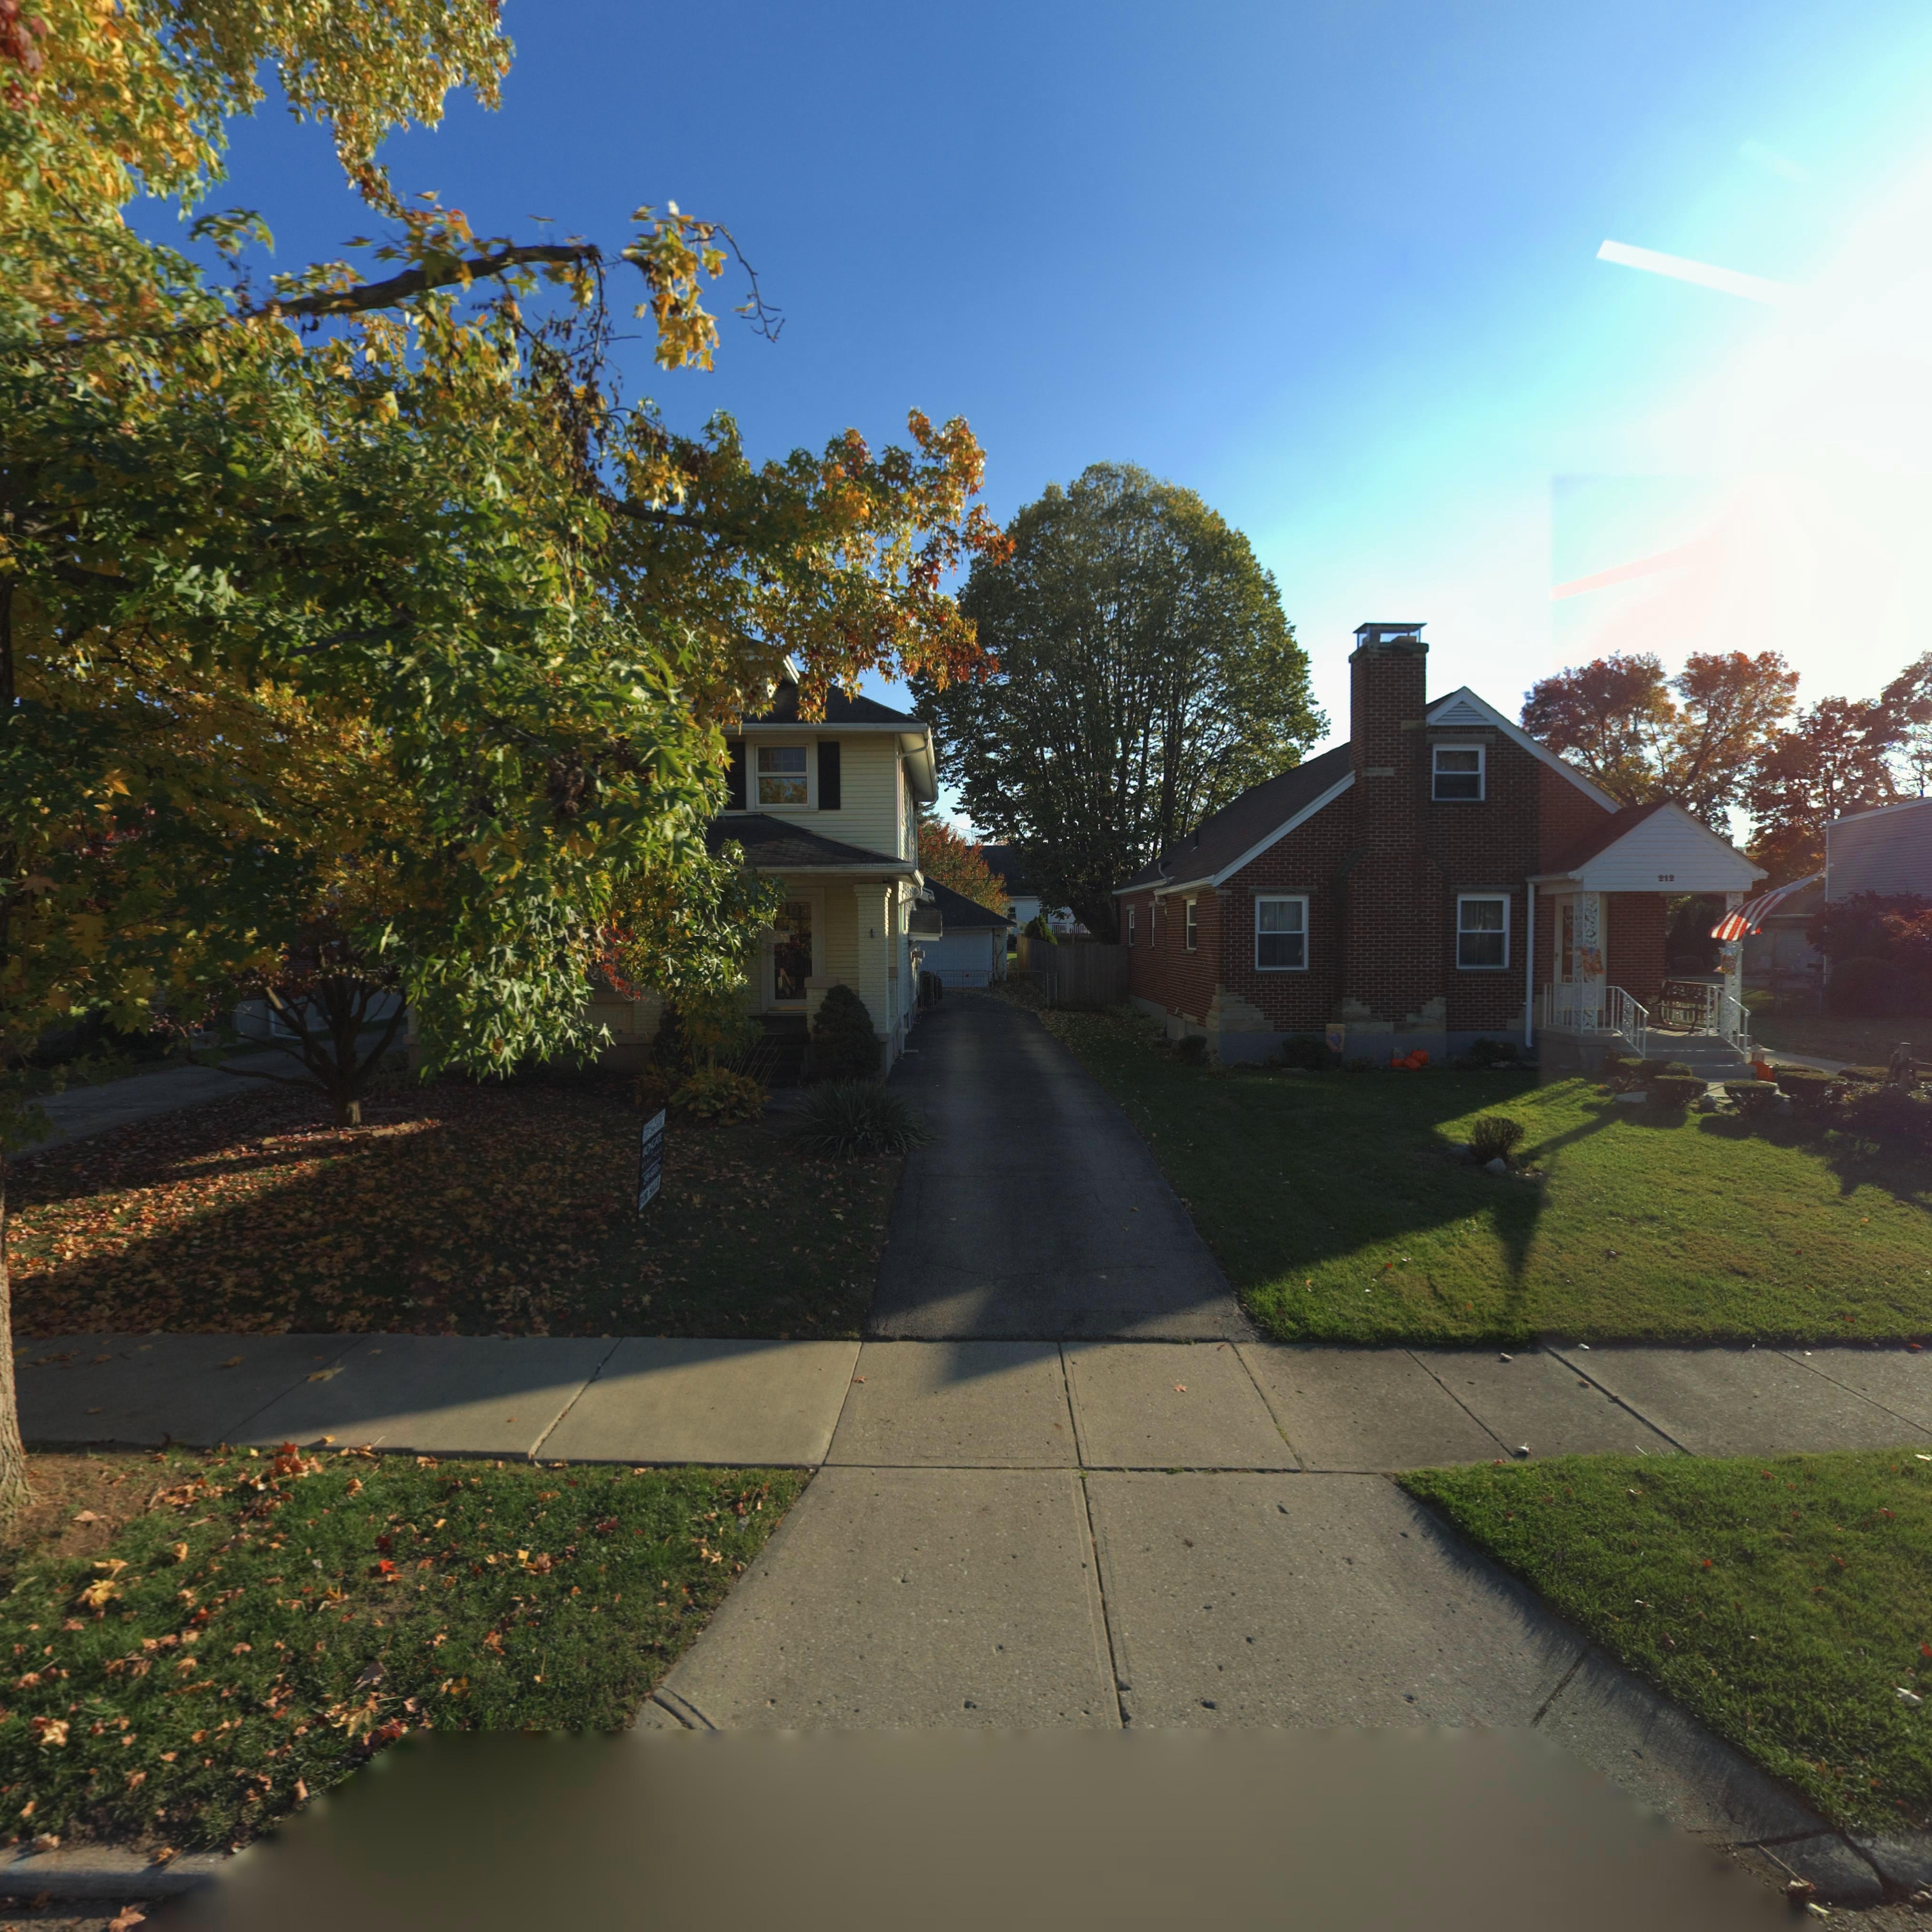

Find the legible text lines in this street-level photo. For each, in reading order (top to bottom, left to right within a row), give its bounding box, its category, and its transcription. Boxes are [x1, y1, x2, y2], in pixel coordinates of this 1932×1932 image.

[1658, 874, 1675, 882] StreetNumber: 212